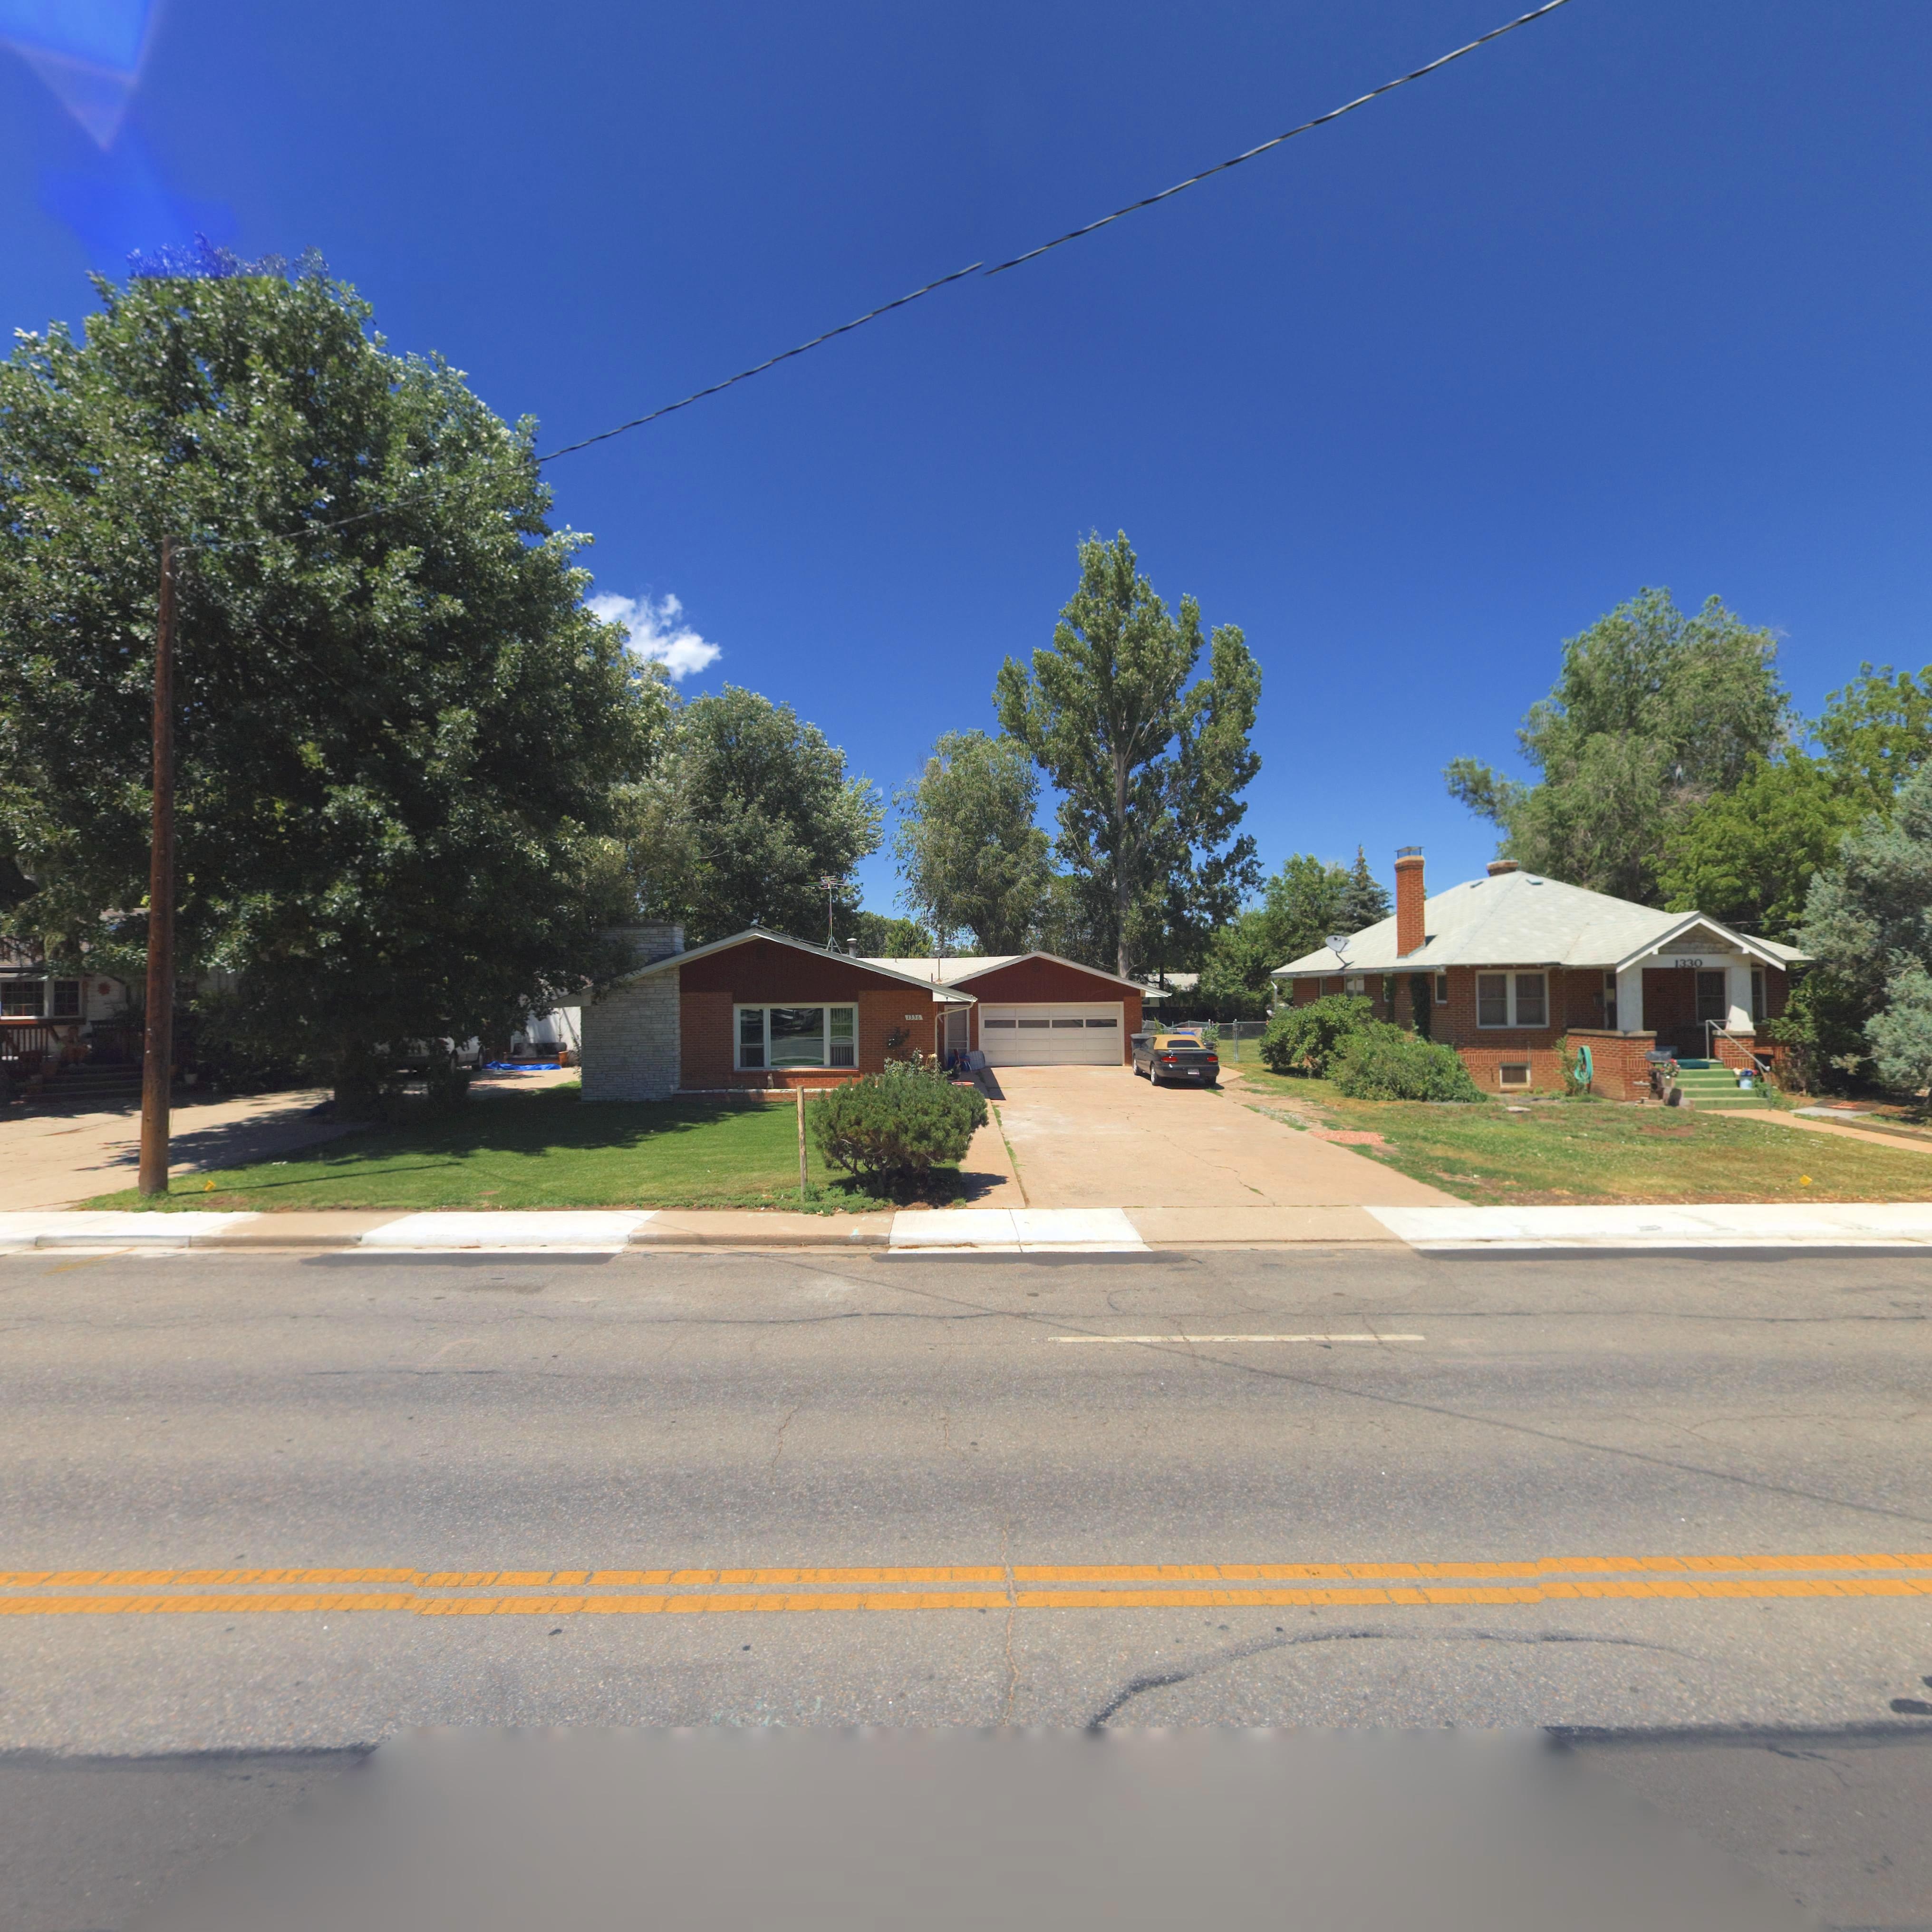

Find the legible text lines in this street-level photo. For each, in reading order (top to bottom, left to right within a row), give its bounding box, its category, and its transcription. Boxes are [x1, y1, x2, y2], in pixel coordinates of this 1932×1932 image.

[1675, 958, 1702, 968] StreetNumber: 1330
[907, 1014, 920, 1020] StreetNumber: 1336